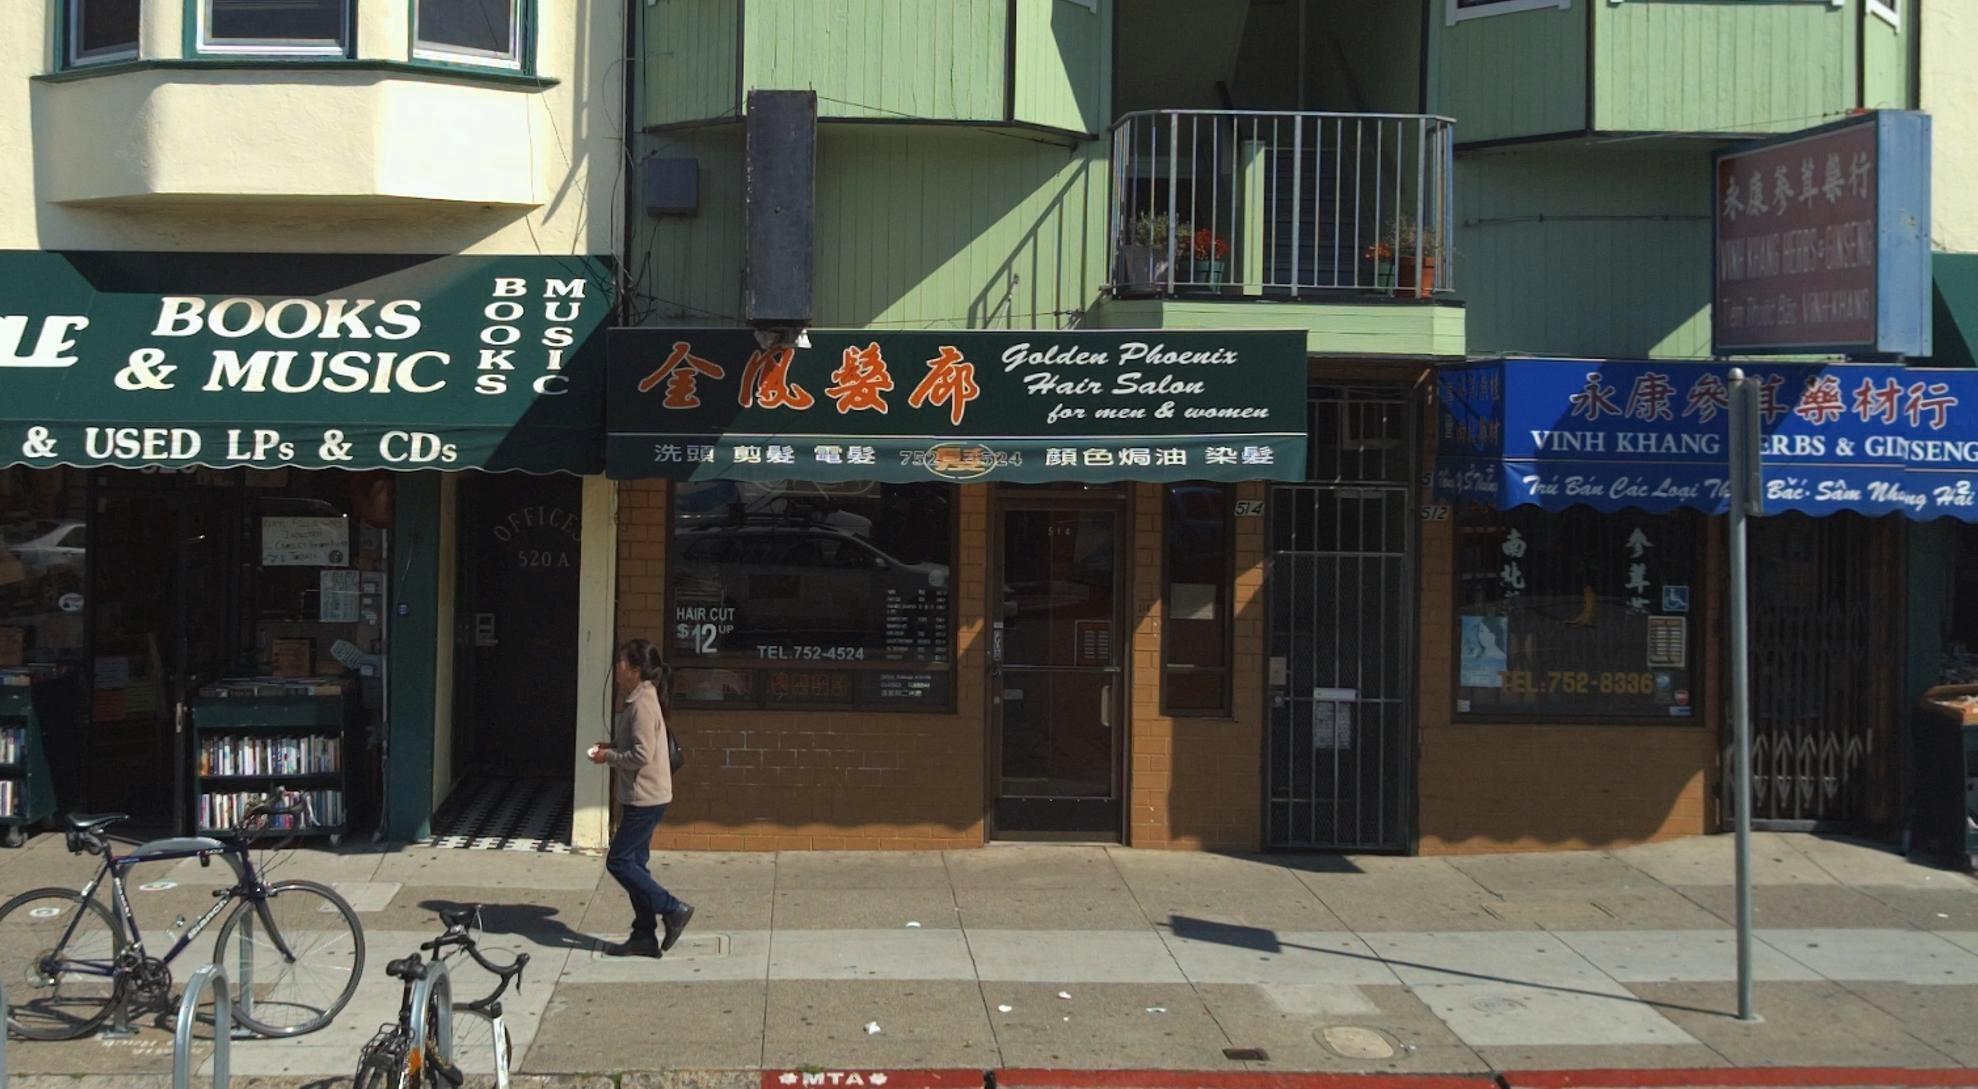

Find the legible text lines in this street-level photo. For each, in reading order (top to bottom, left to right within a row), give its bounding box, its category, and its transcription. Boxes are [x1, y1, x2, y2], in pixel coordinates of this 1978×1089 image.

[1745, 217, 1876, 280] None: KHANG HERBS&GINSENG
[148, 292, 426, 343] None: BOOKS
[469, 273, 529, 398] None: BOOKS
[528, 275, 588, 400] None: MUSIC
[108, 343, 455, 397] None: & MUSIC
[1022, 369, 1207, 397] None: Hair Salon
[1000, 340, 1239, 374] None: Golden Phoenix
[1041, 399, 1271, 425] None: for men & women
[16, 419, 459, 465] None: & USED LPs & CDs
[898, 448, 1024, 468] None: 752-4524
[1525, 426, 1965, 465] None: VINH *ERBS & GINSEN
[1419, 470, 1434, 488] None: 5
[489, 503, 580, 546] None: OFFICE
[1047, 524, 1071, 538] None: 514
[1231, 500, 1267, 516] StreetNumber: 514
[1418, 503, 1449, 522] StreetNumber: 512
[518, 548, 571, 570] StreetNumber: 520A
[675, 604, 736, 622] None: HAIR CUT
[688, 623, 719, 656] None: 12
[717, 622, 734, 636] None: UP
[756, 644, 864, 662] None: TEL.752-4524
[1495, 667, 1655, 697] None: TEL:752-8336
[799, 1069, 868, 1087] None: MTA